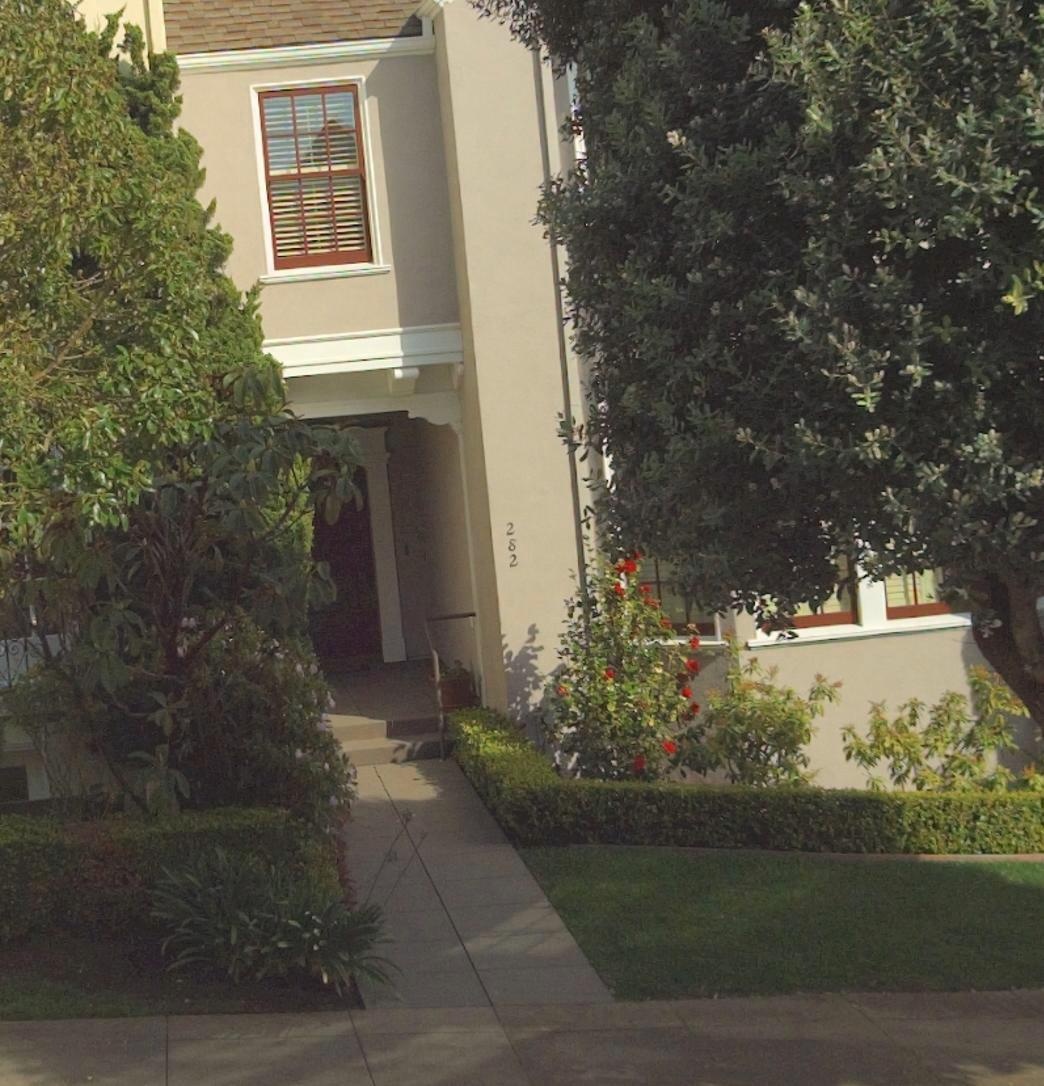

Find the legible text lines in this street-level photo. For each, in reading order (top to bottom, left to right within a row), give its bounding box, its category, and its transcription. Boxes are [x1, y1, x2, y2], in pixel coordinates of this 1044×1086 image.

[502, 520, 523, 570] StreetNumber: 282